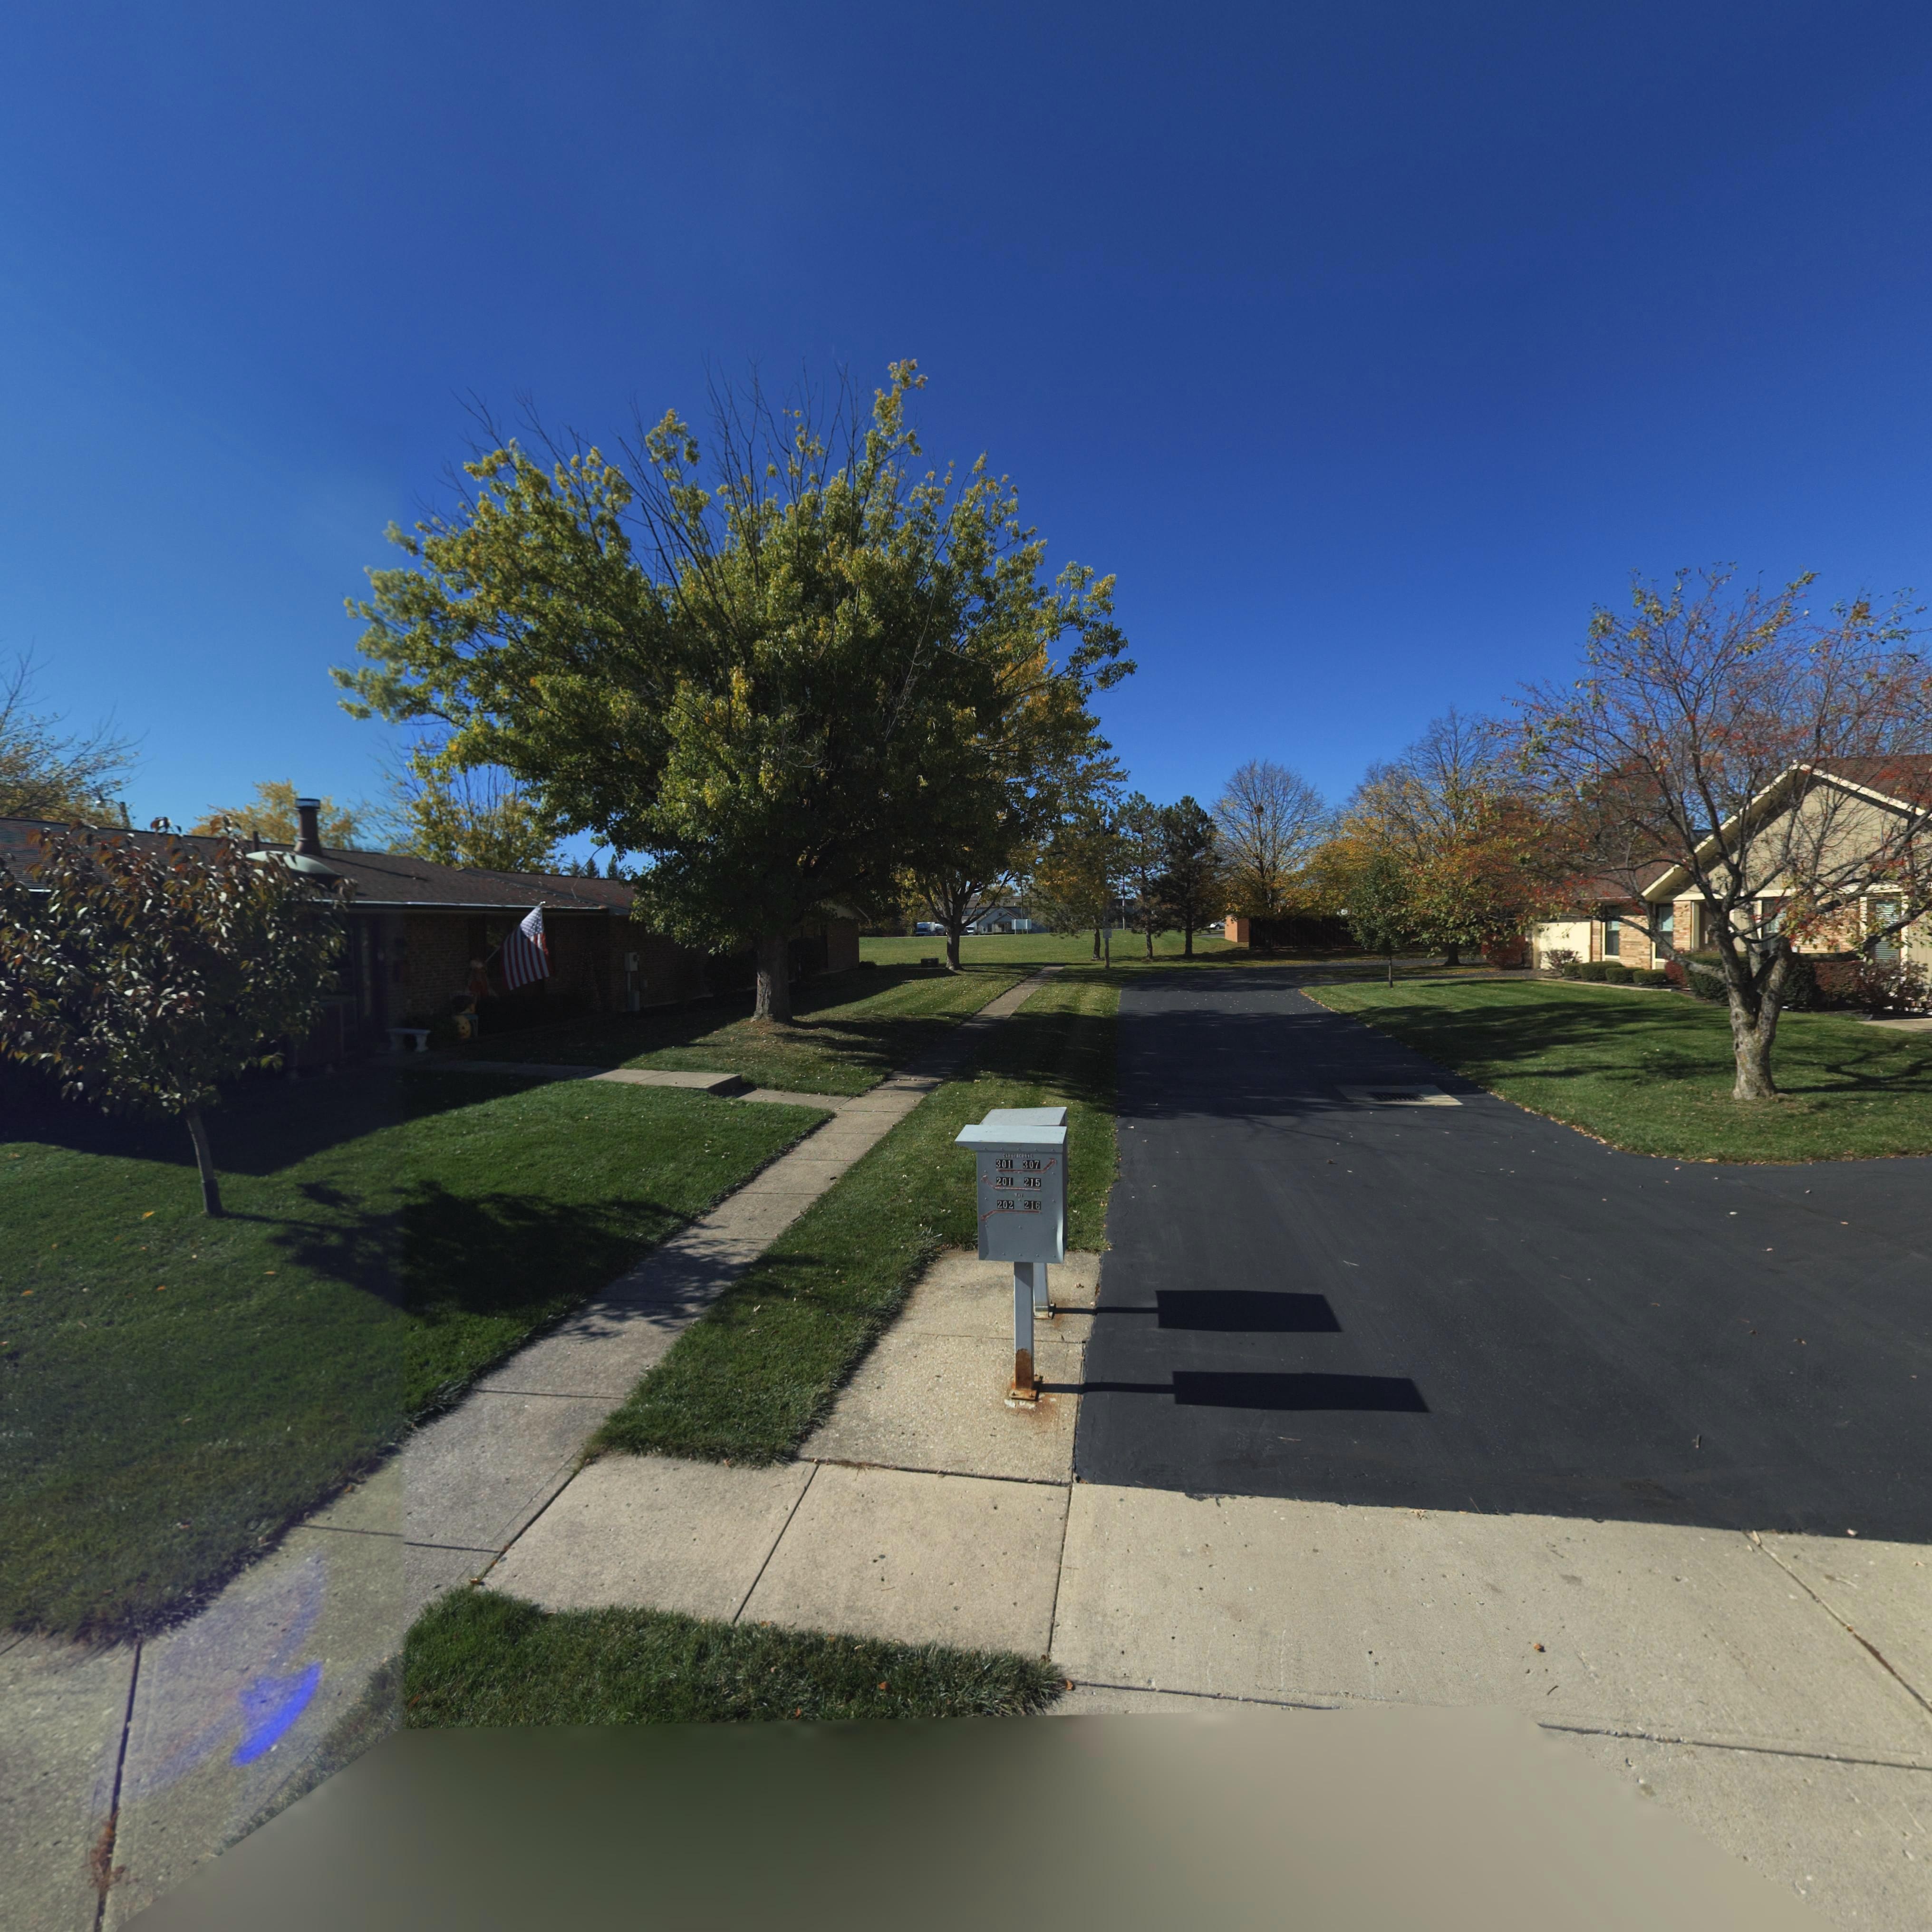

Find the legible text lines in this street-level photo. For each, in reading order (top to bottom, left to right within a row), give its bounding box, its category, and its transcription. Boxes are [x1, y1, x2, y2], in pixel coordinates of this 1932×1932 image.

[995, 1159, 1011, 1169] StreetNumber: 301
[1022, 1159, 1040, 1169] StreetNumber: 307
[995, 1177, 1012, 1187] StreetNumber: 201
[1024, 1177, 1041, 1187] StreetNumber: 215
[996, 1200, 1014, 1209] StreetNumber: 202
[1024, 1200, 1041, 1210] StreetNumber: 216